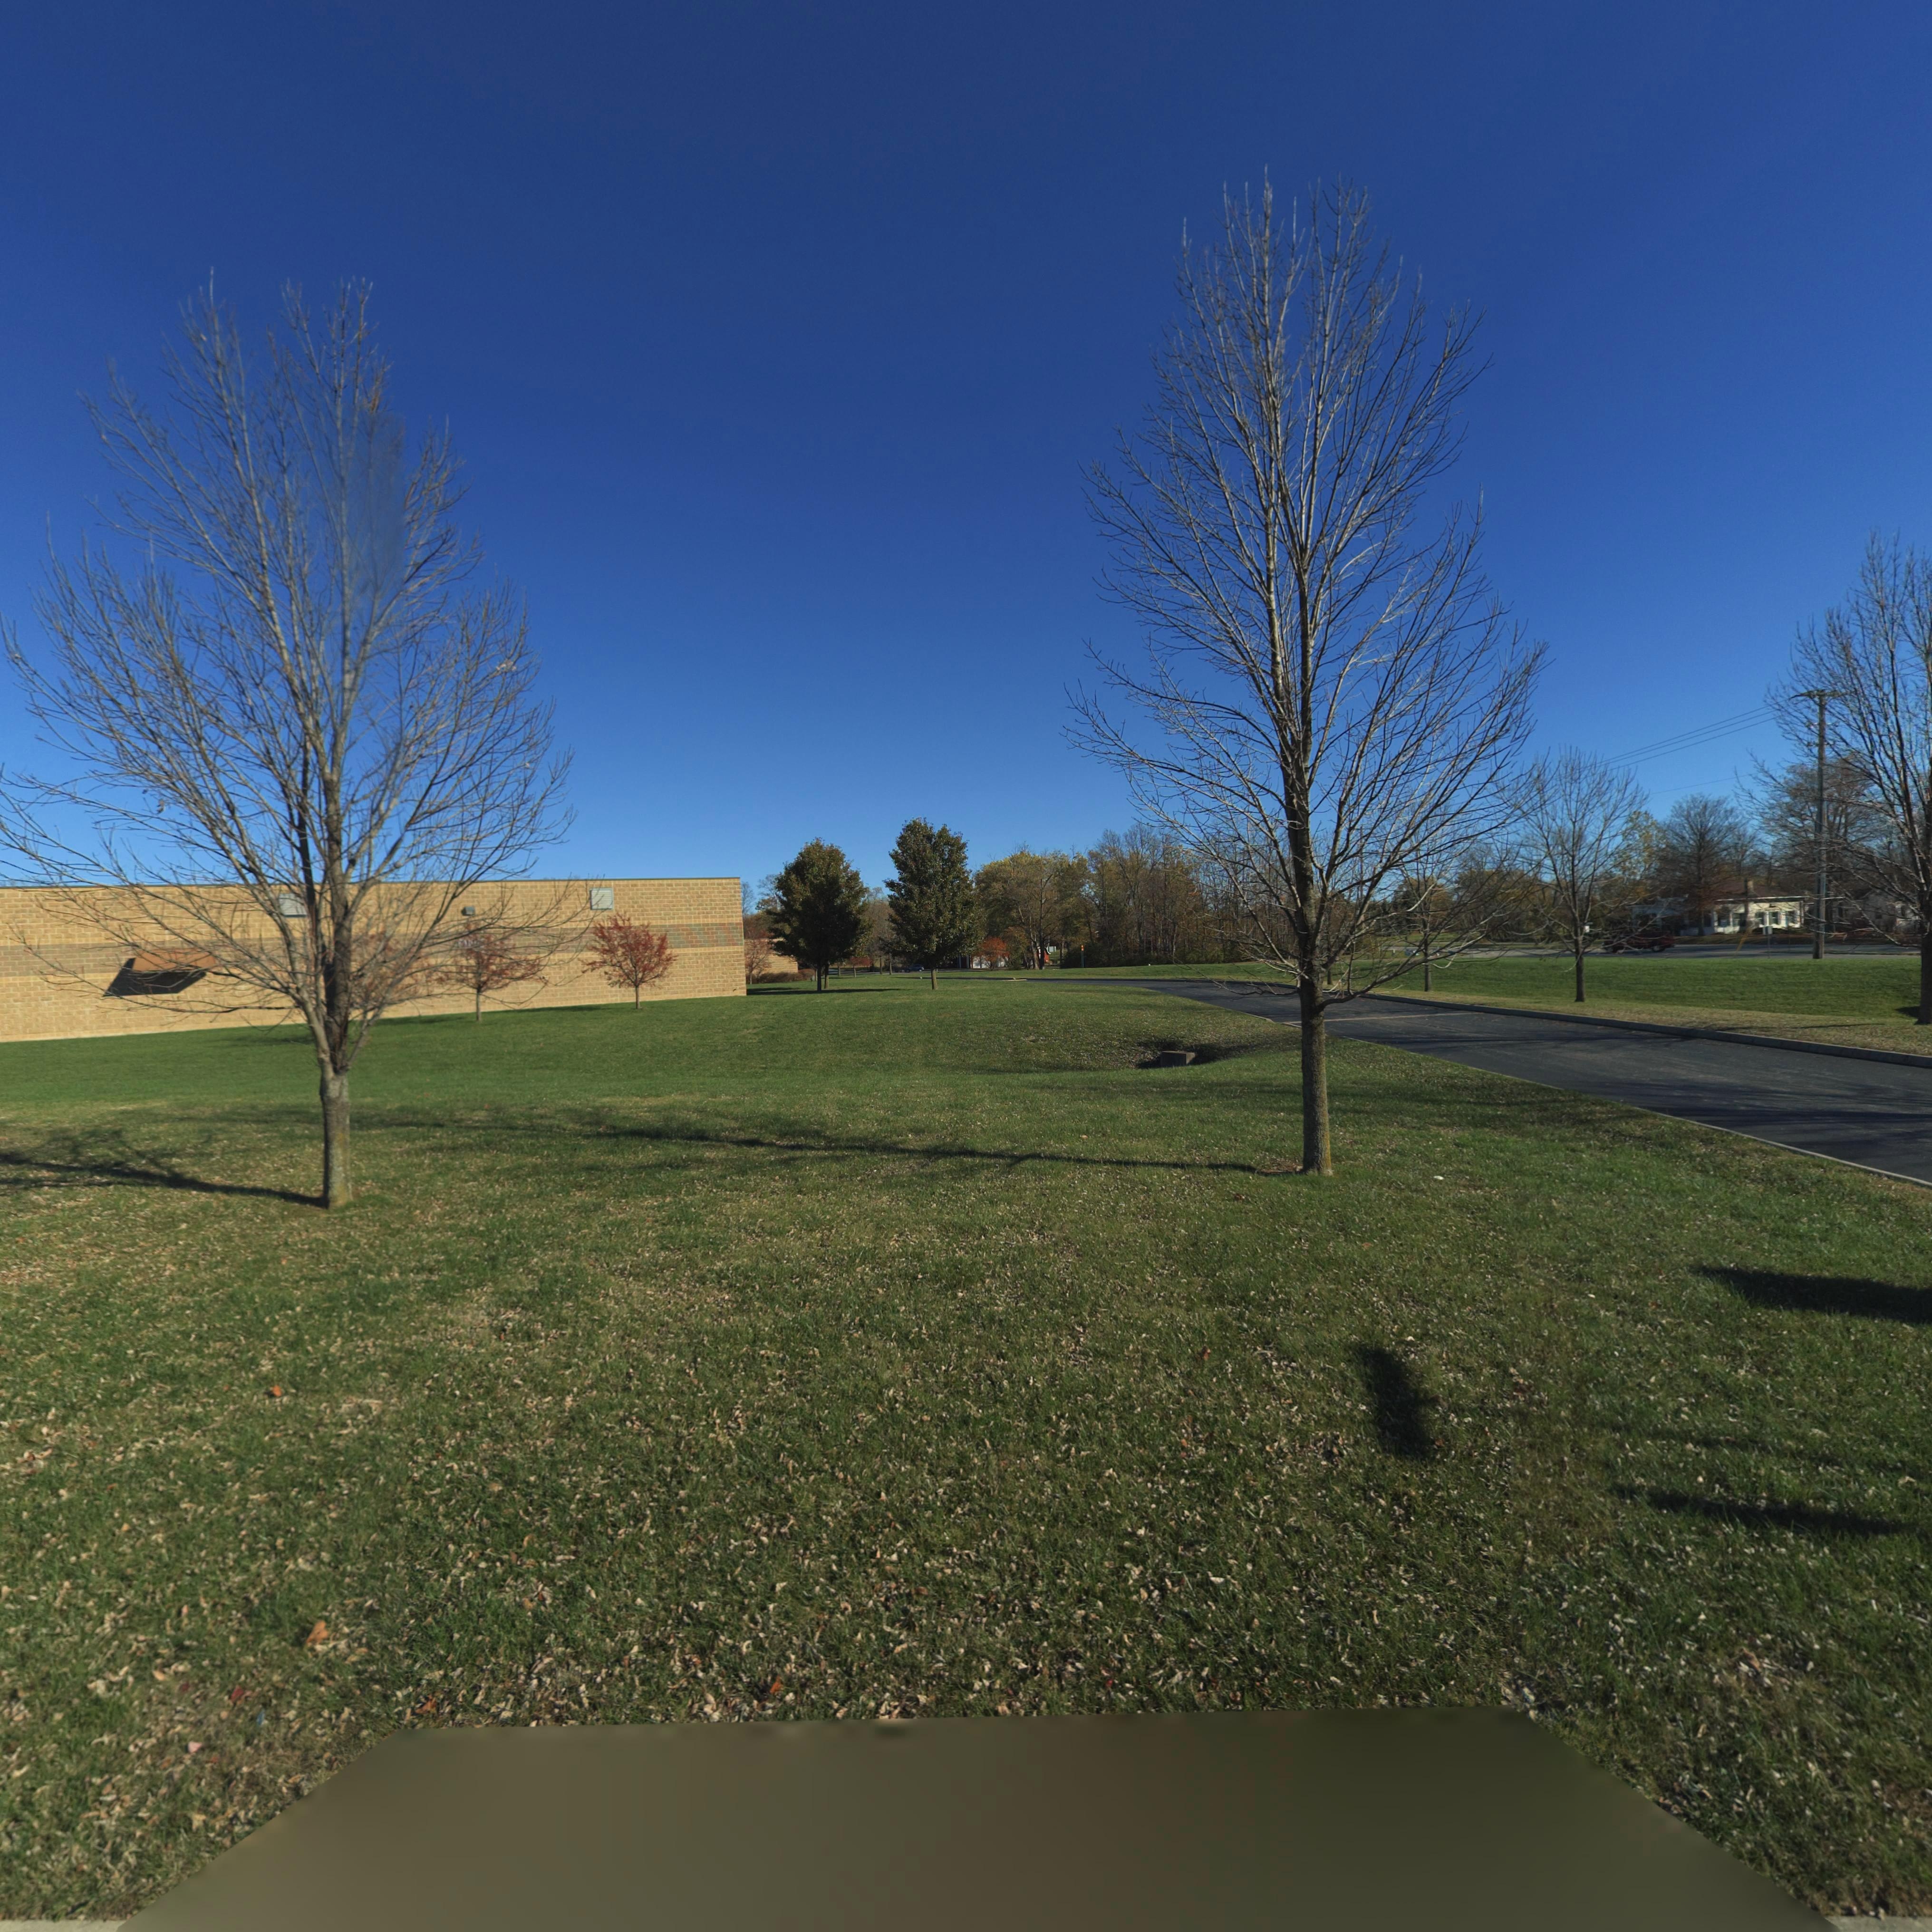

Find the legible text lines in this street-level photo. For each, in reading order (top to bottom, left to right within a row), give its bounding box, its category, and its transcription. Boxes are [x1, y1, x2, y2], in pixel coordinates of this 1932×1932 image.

[456, 937, 486, 950] StreetNumber: O**